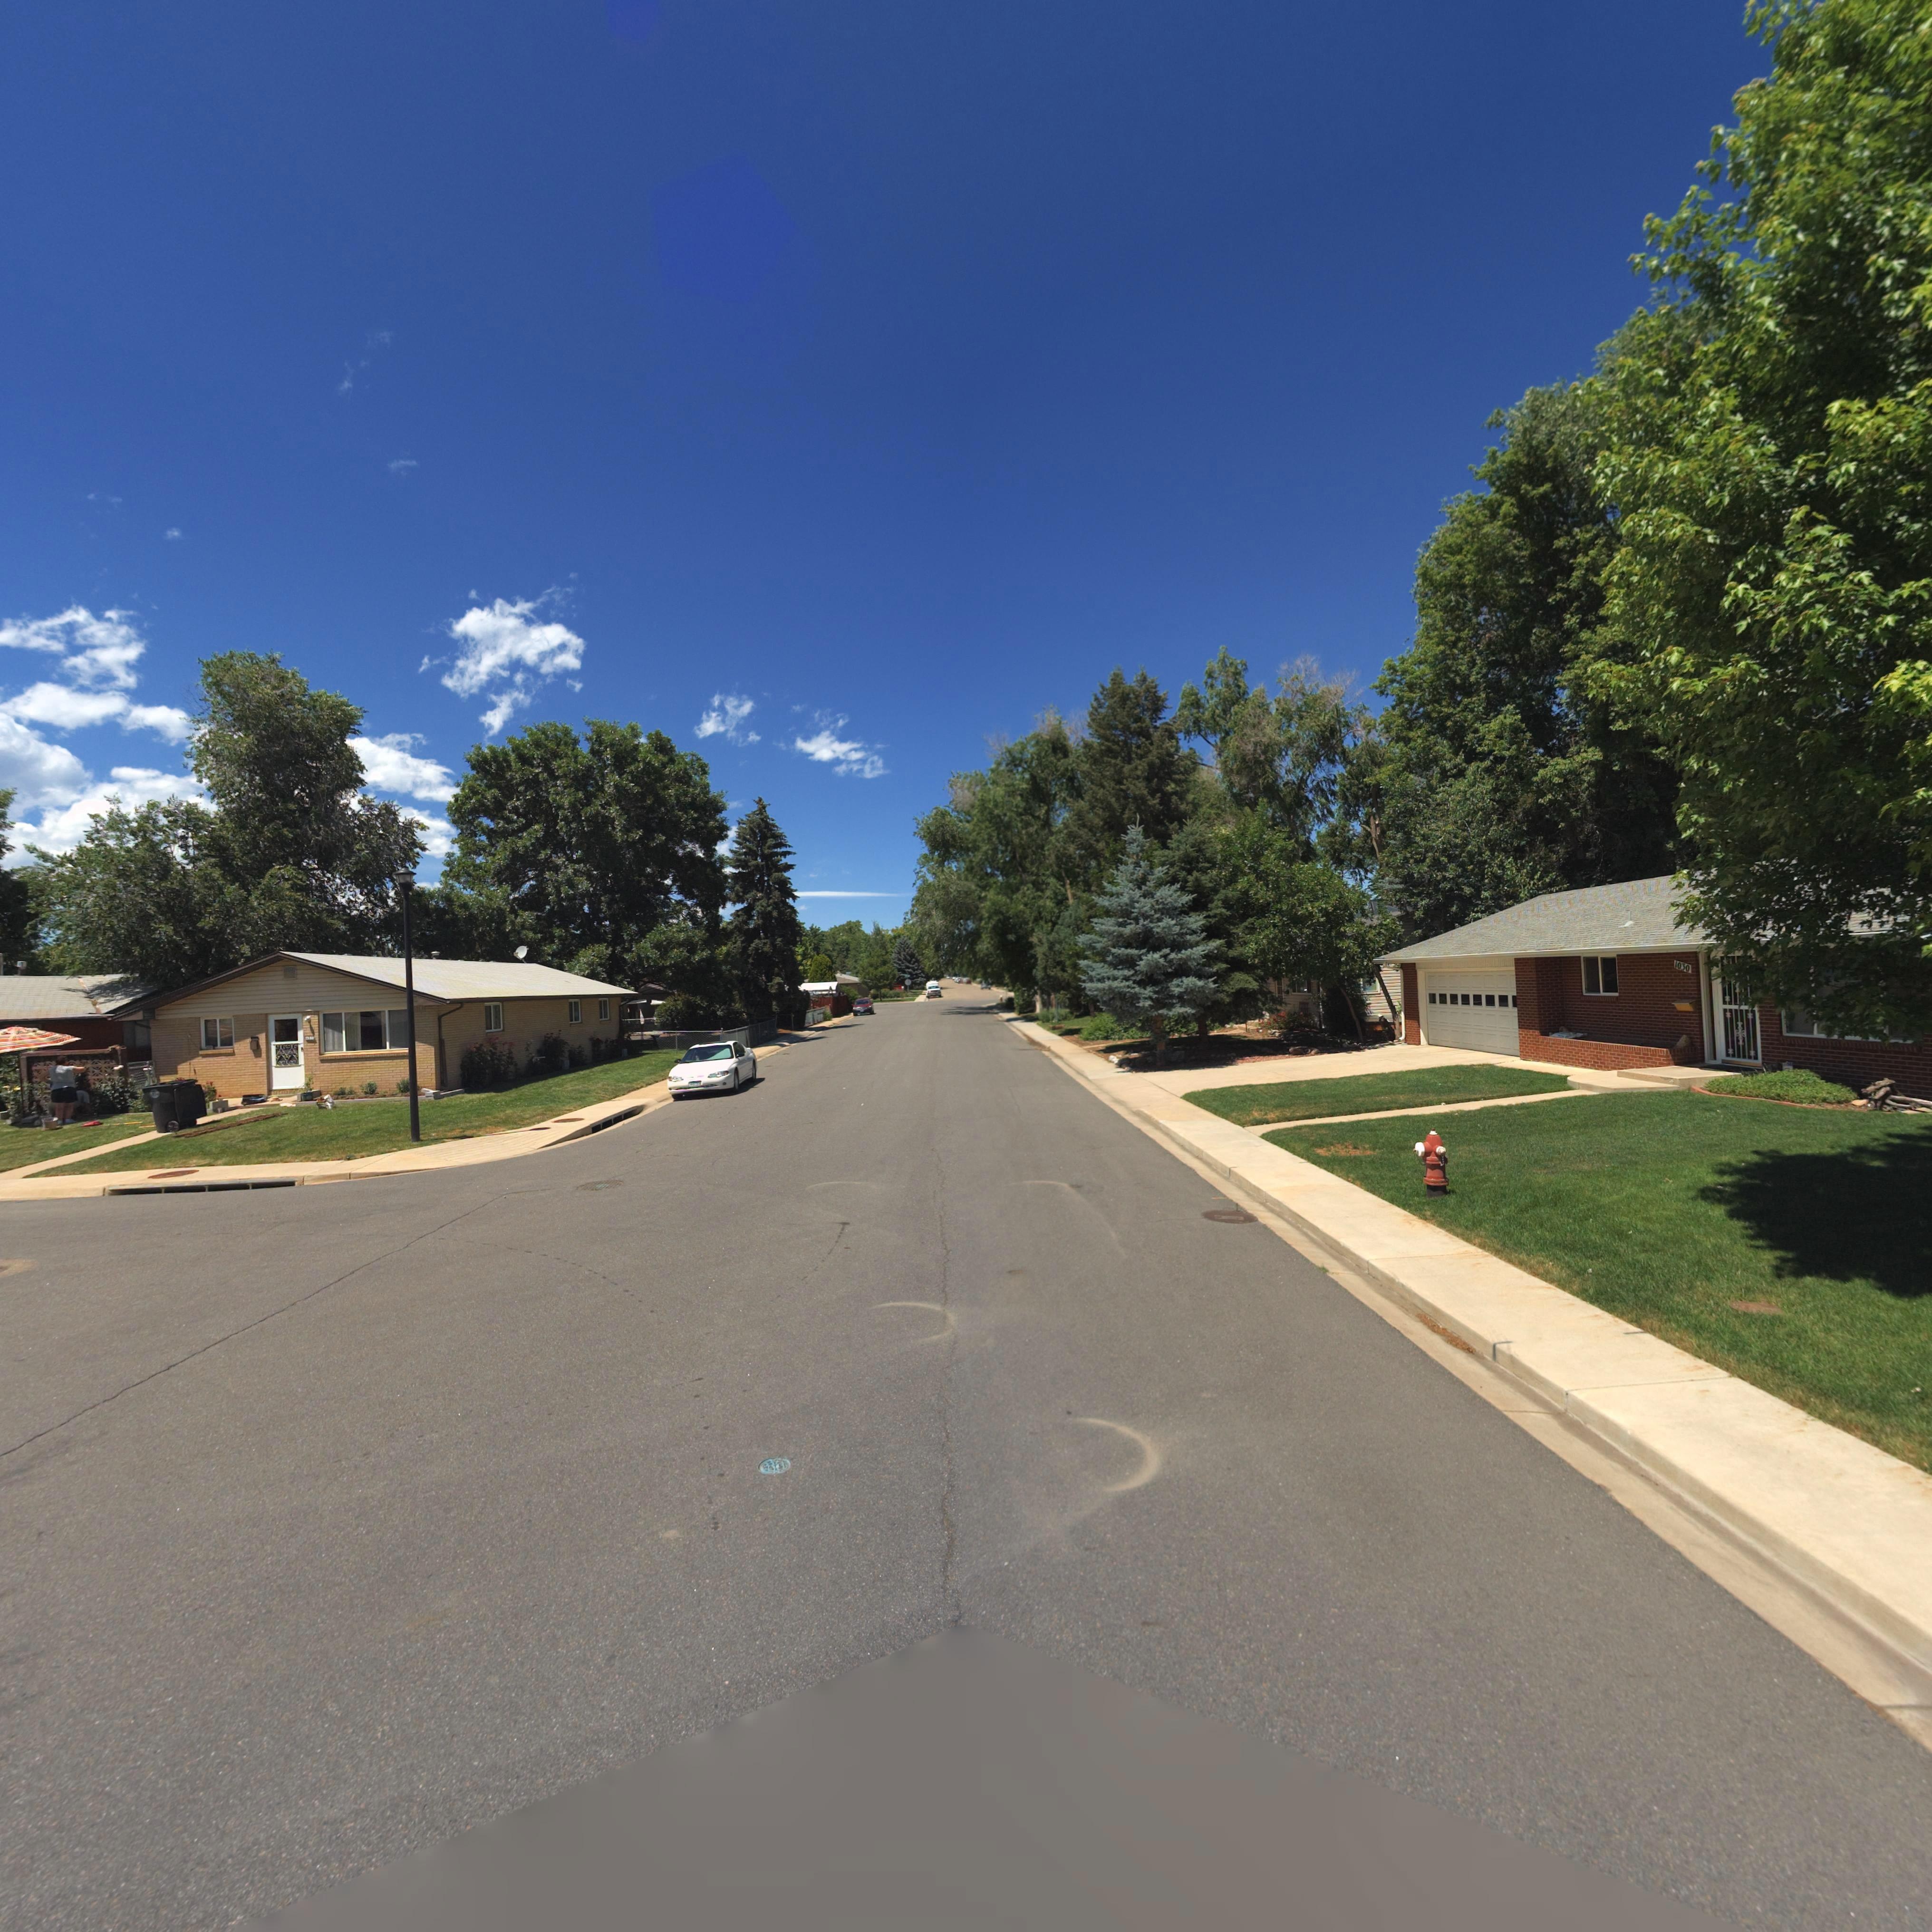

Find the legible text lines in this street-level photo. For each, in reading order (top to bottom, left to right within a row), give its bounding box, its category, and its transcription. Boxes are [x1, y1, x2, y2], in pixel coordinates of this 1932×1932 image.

[1675, 960, 1690, 972] StreetNumber: 1030
[304, 1036, 314, 1040] StreetNumber: 13**